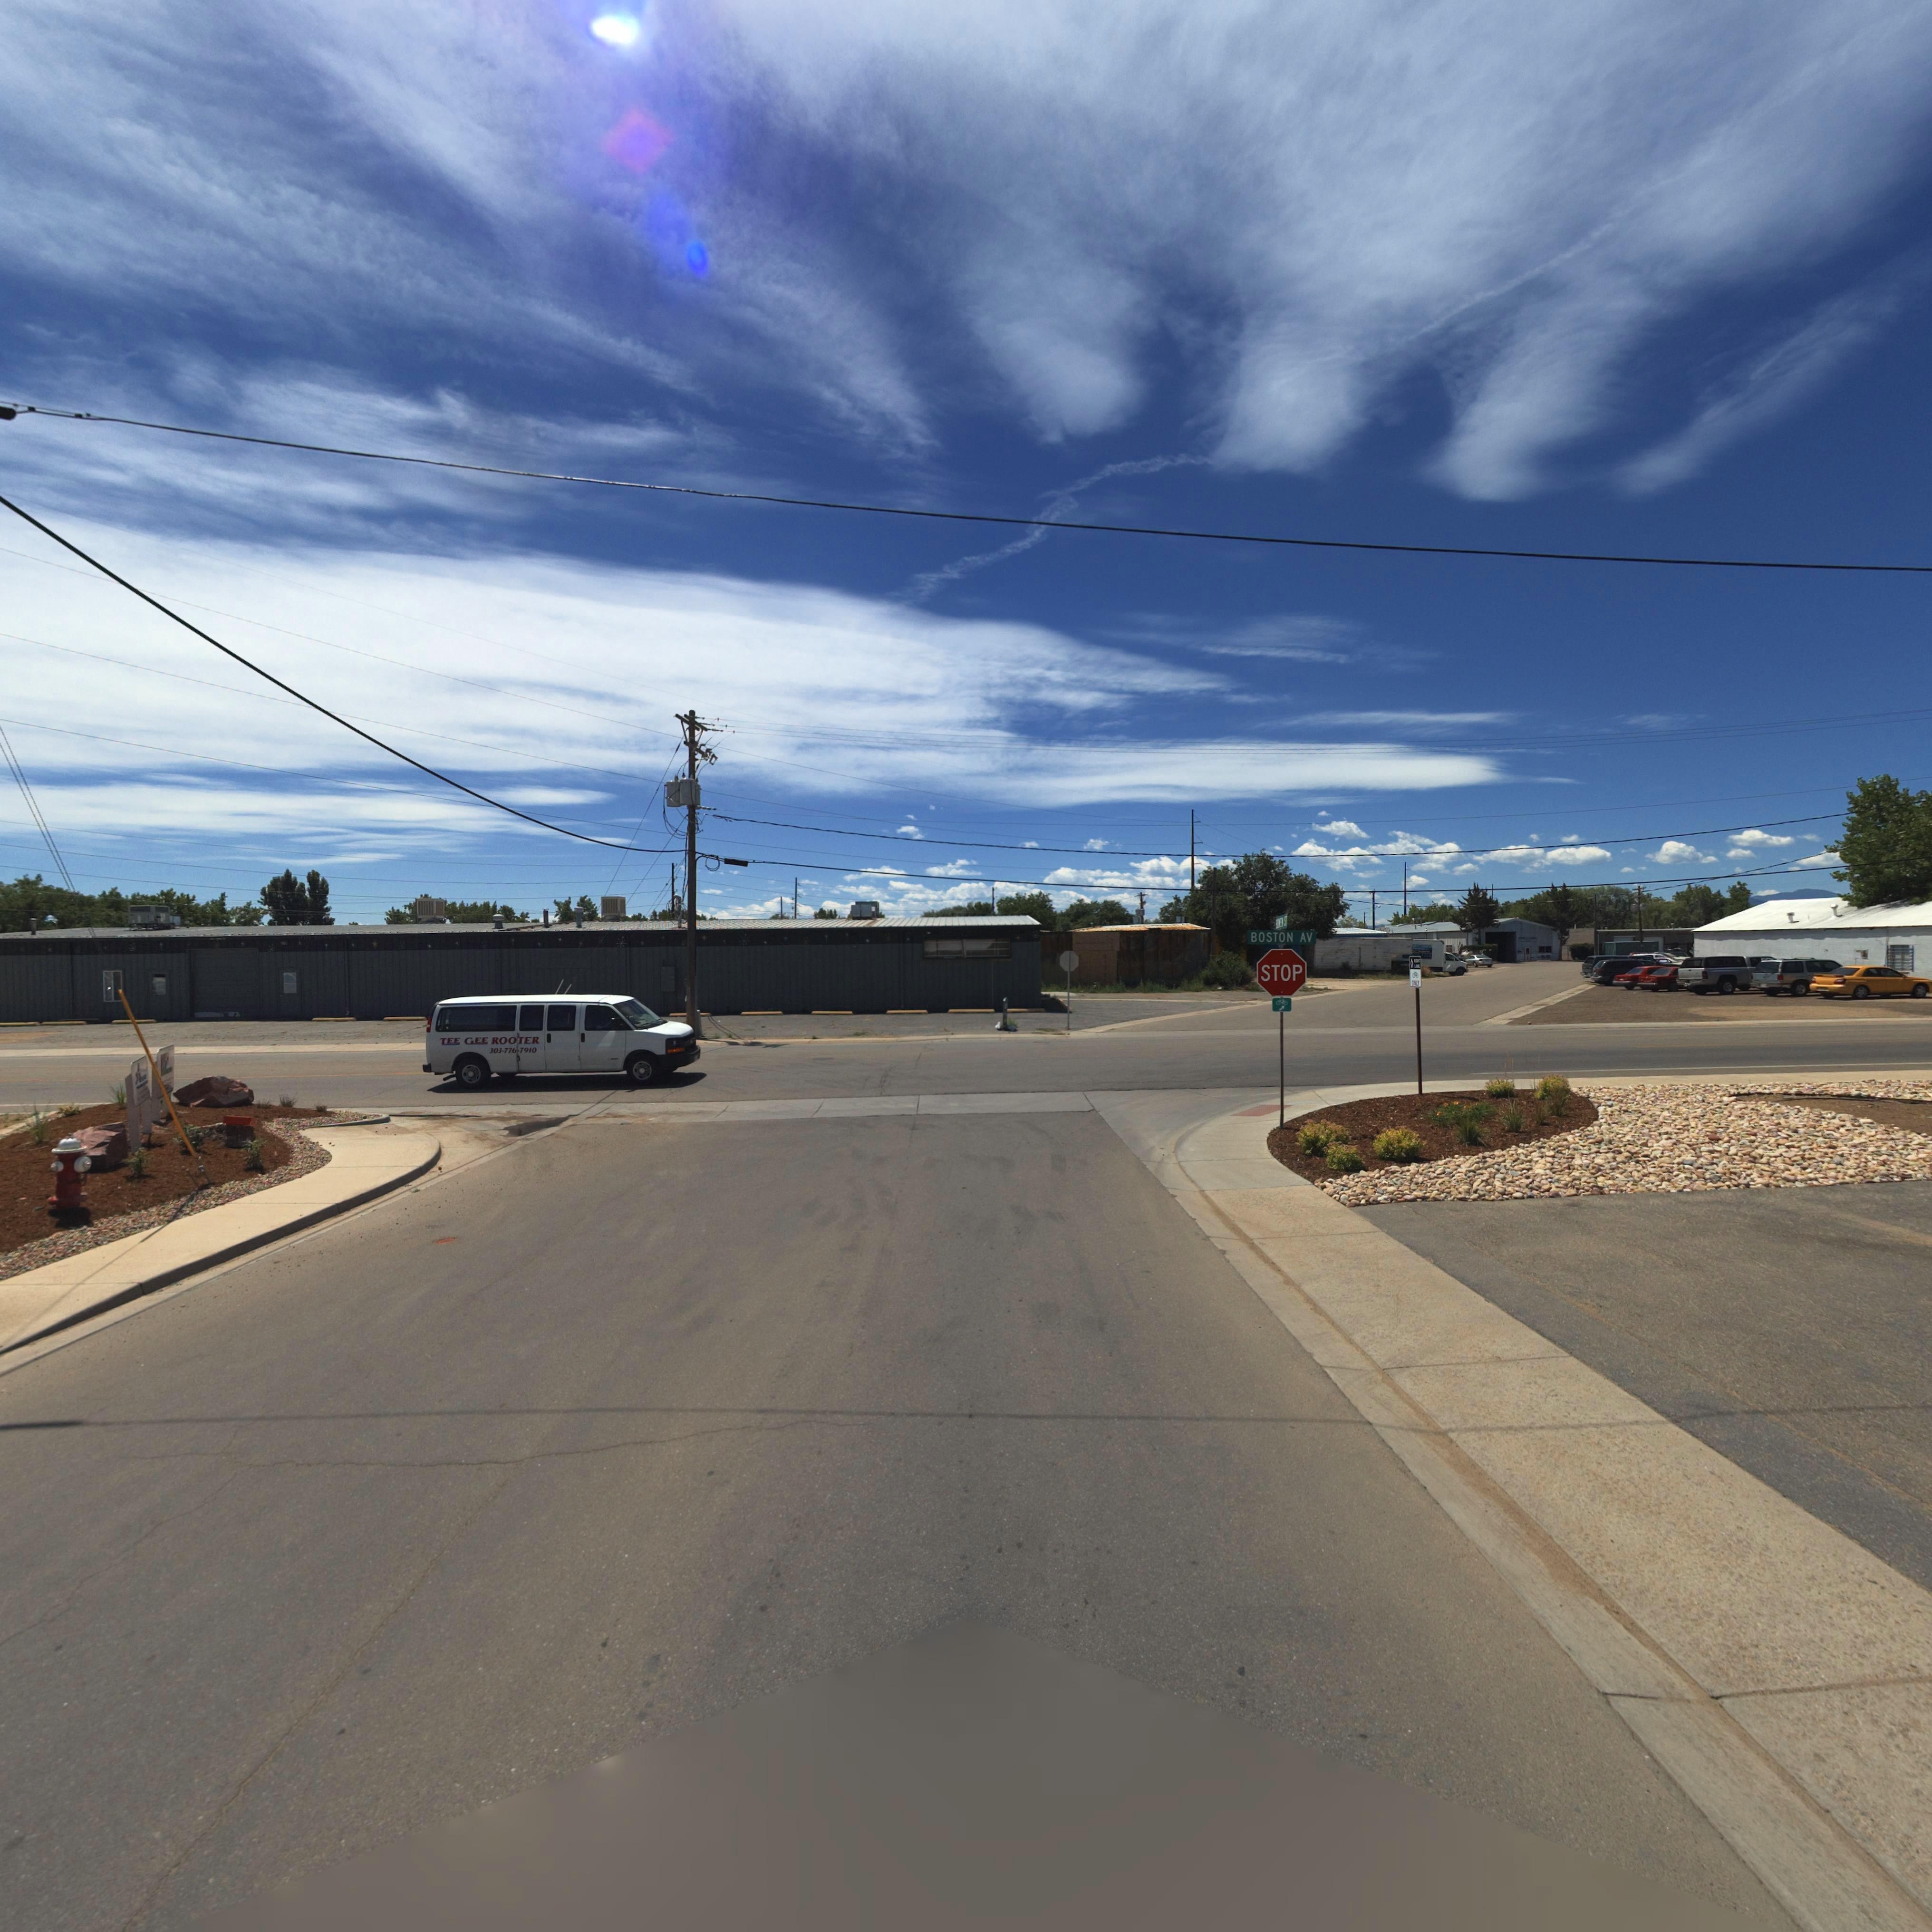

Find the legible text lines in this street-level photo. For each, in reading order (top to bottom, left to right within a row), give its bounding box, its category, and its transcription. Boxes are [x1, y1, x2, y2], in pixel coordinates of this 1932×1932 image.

[1275, 915, 1287, 929] StreetName: ***E* ST
[1251, 931, 1313, 942] StreetName: BOSTON AV
[135, 1060, 142, 1085] BusinessName: A